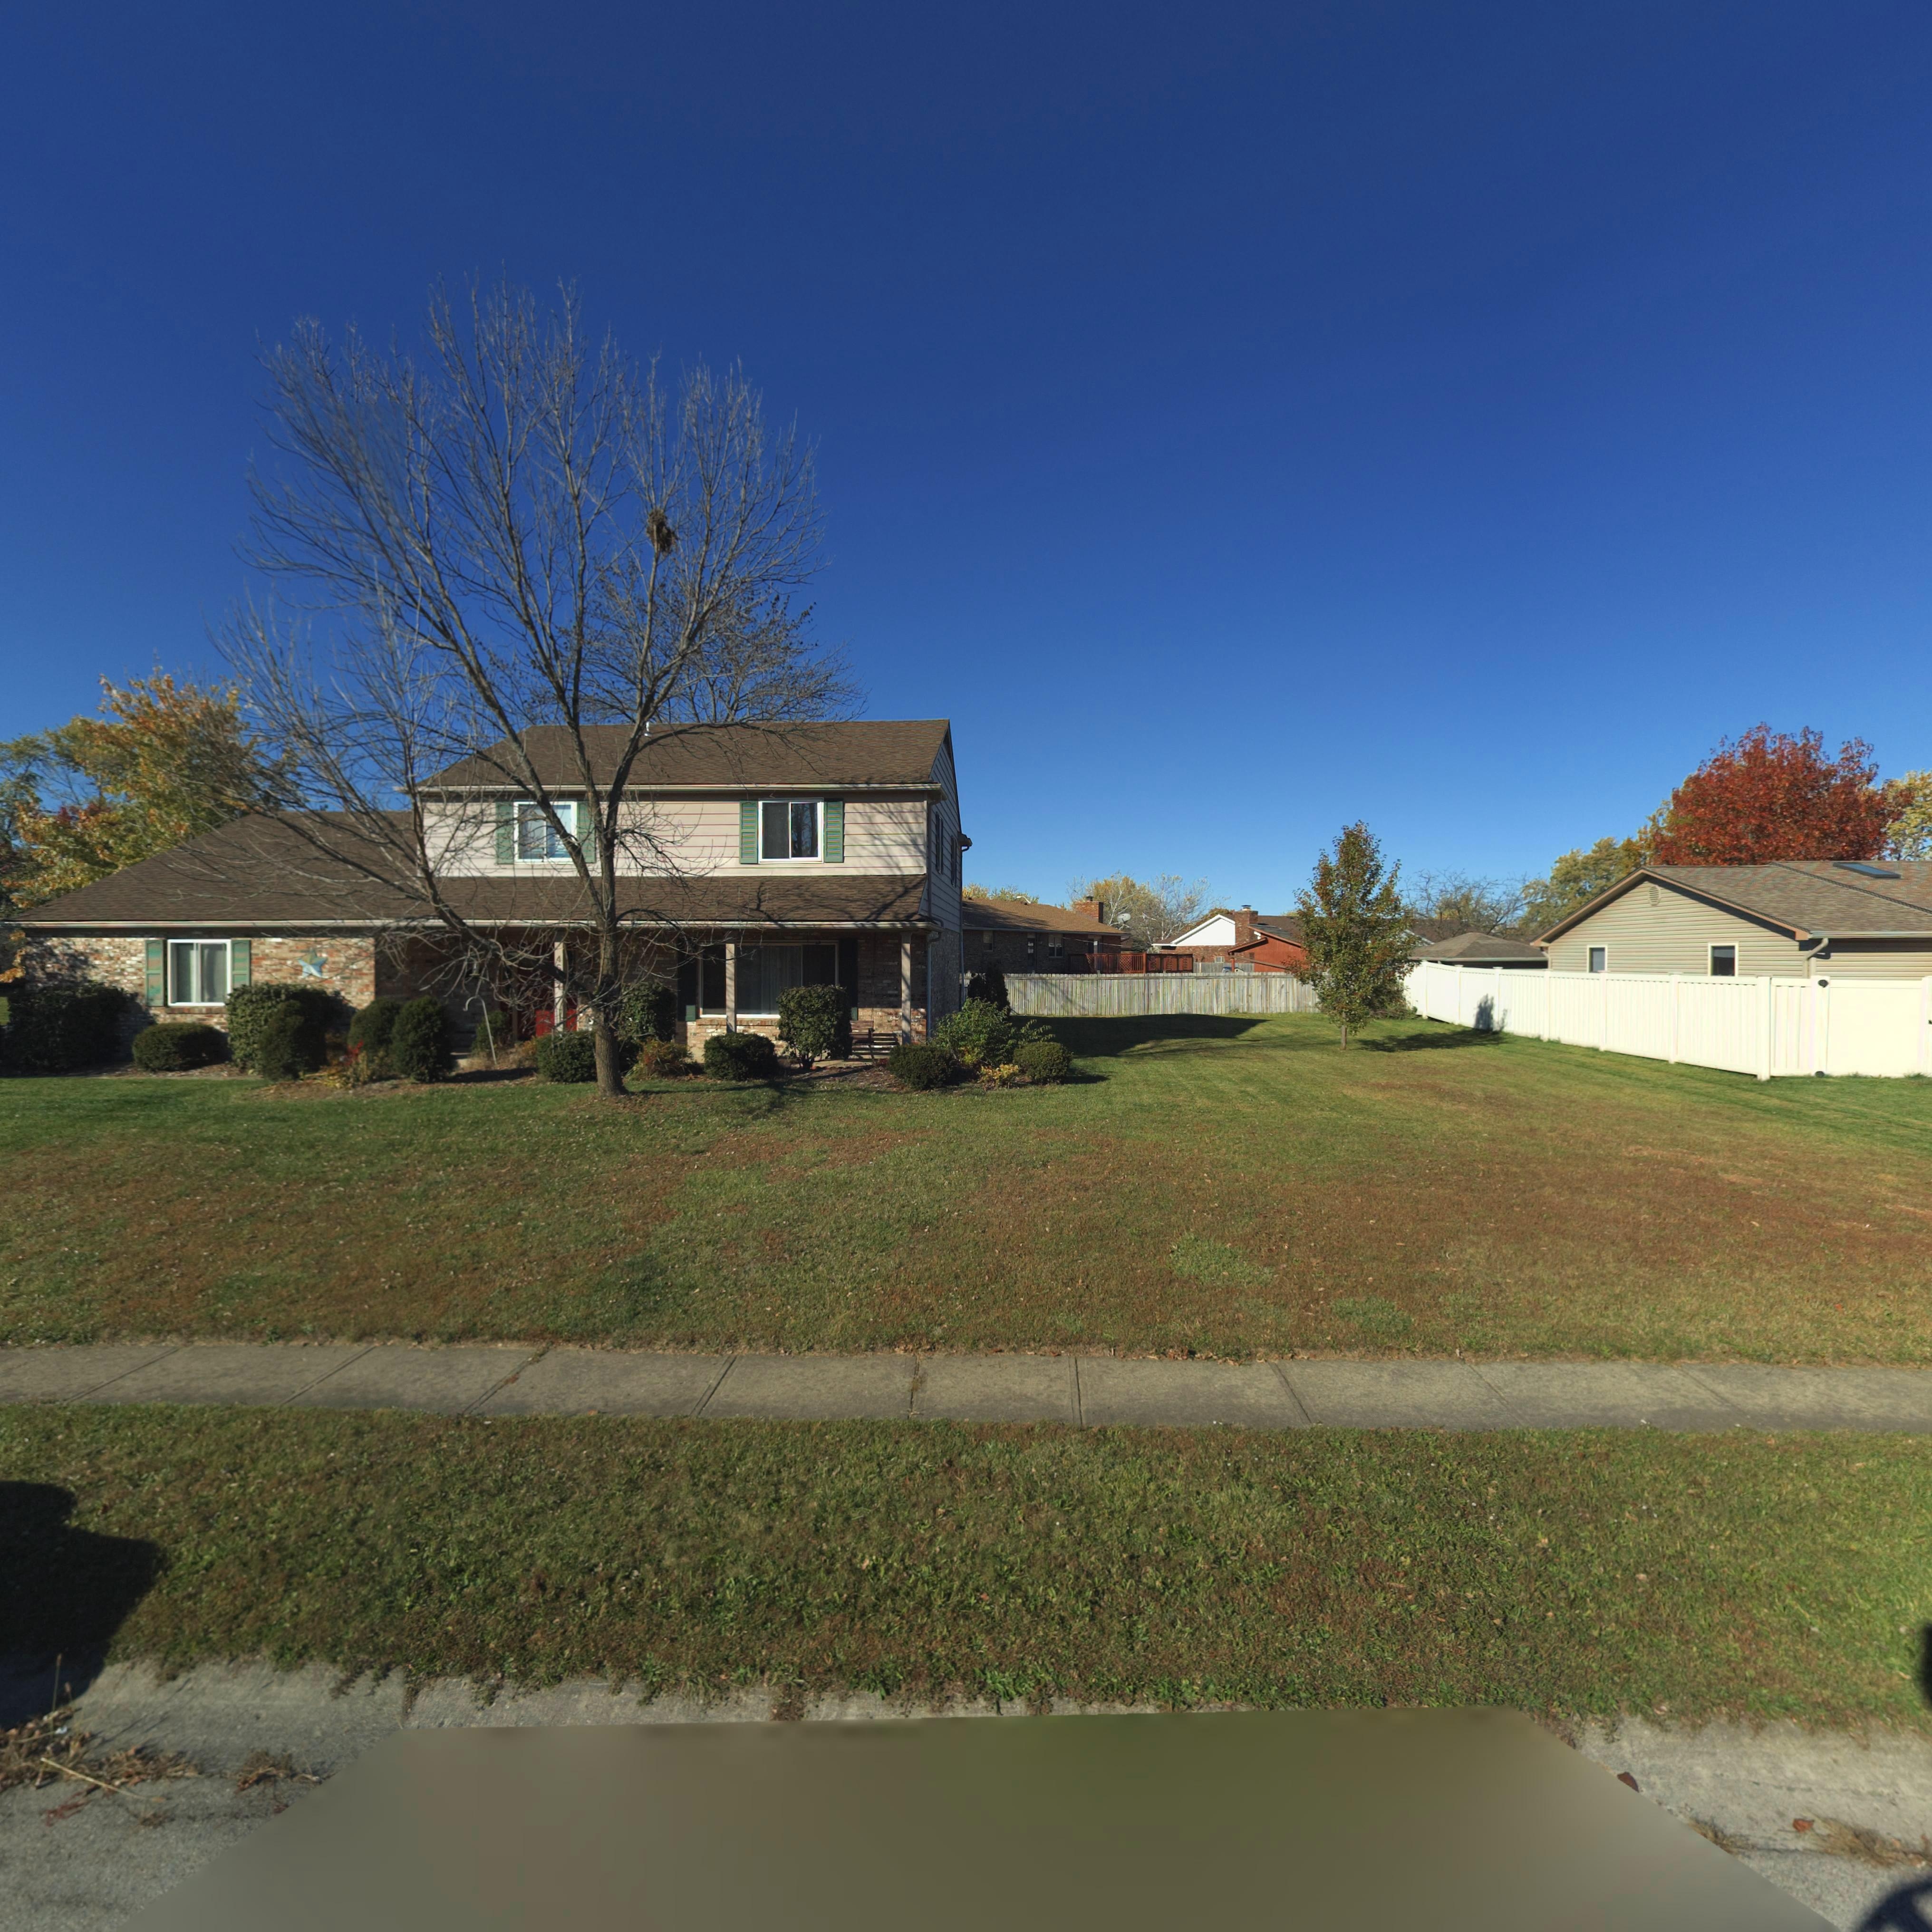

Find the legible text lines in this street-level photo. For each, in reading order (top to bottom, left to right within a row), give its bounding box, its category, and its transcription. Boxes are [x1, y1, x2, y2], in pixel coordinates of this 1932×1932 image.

[555, 955, 561, 989] StreetNumber: 4**7